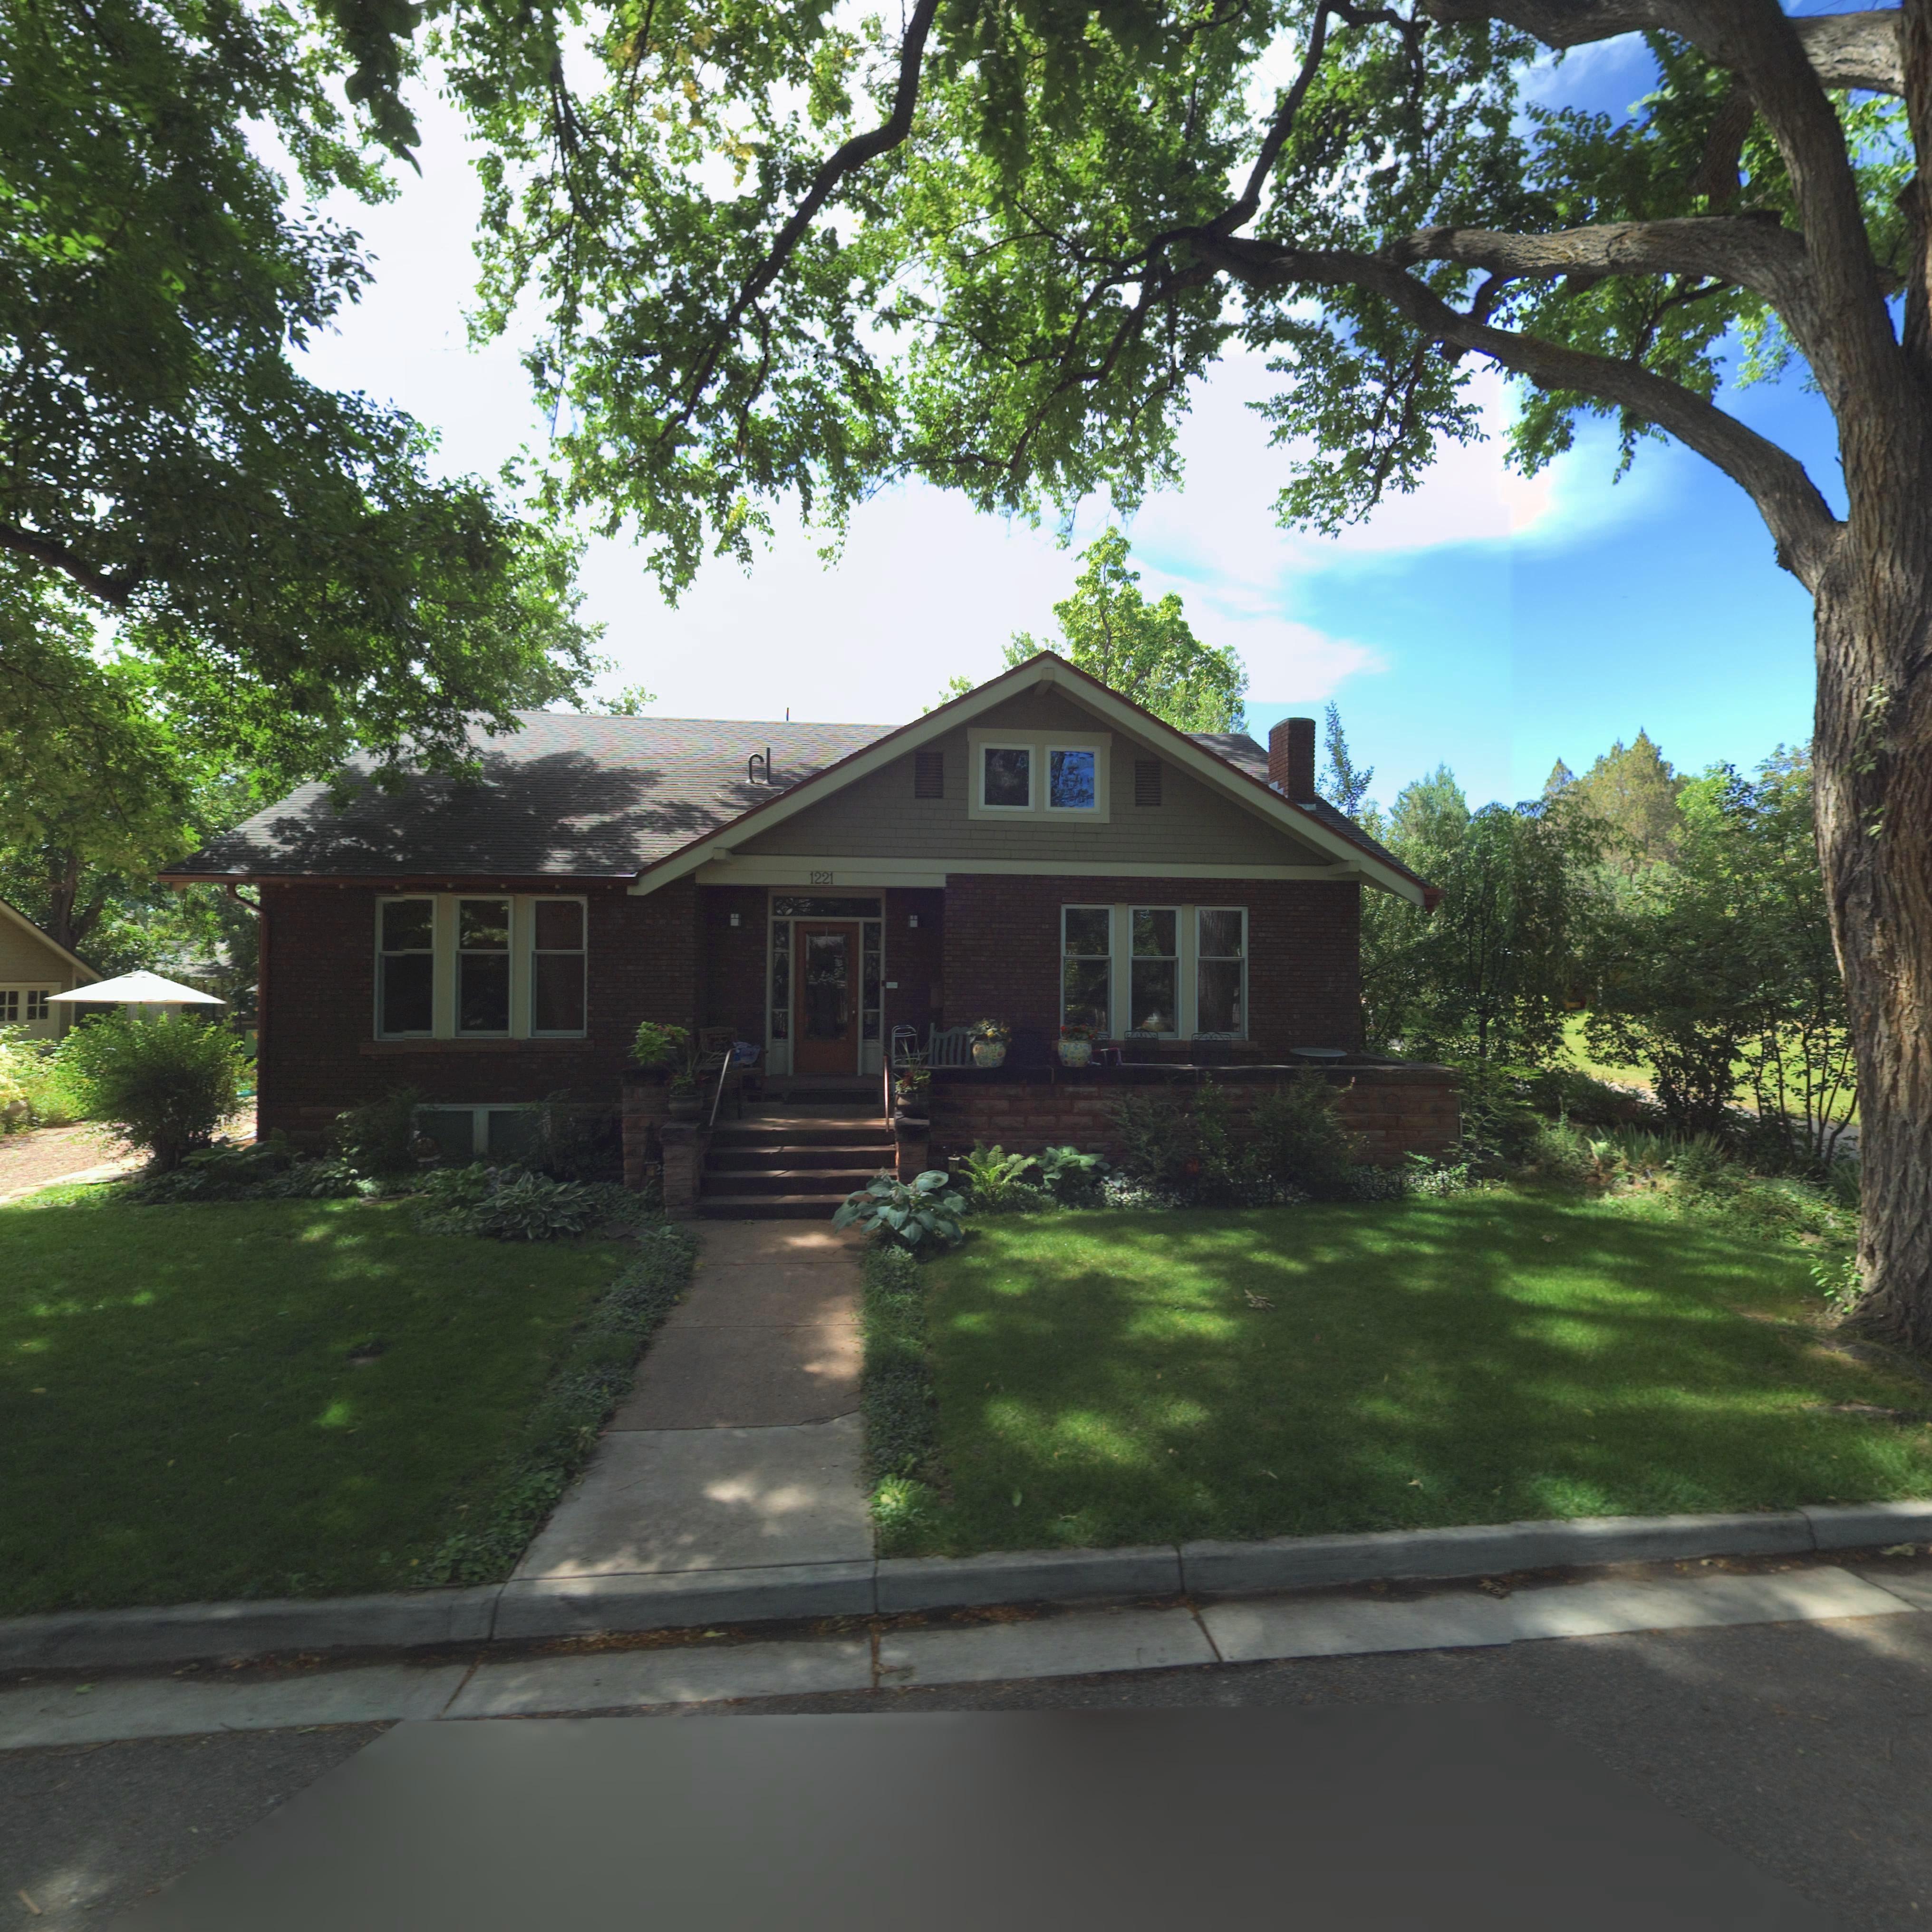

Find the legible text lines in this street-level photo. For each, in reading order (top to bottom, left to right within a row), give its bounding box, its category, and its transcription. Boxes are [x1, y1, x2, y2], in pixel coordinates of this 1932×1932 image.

[810, 871, 833, 884] StreetNumber: 1221